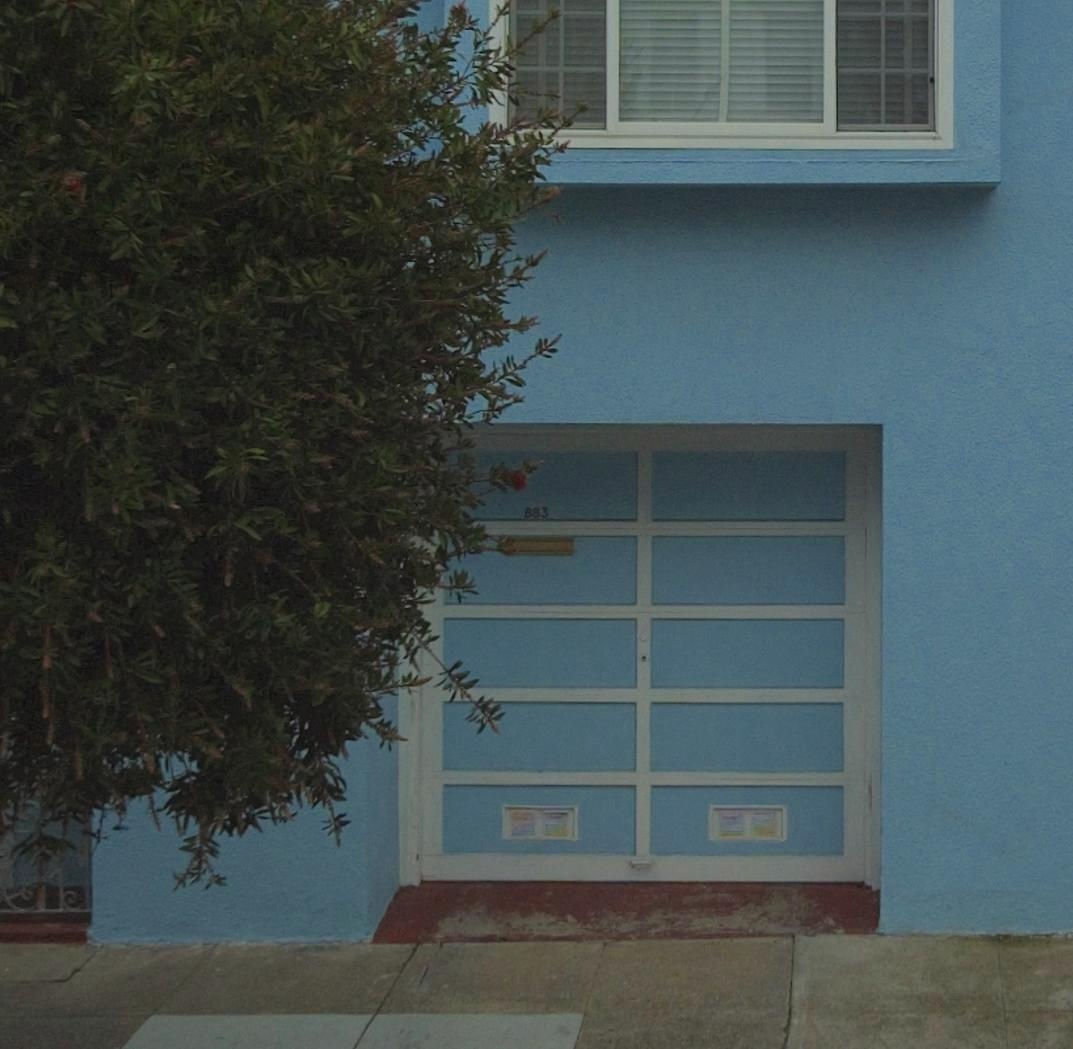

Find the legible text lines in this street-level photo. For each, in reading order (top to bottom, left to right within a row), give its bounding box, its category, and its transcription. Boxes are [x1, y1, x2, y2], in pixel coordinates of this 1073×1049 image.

[523, 505, 549, 520] StreetNumber: 883